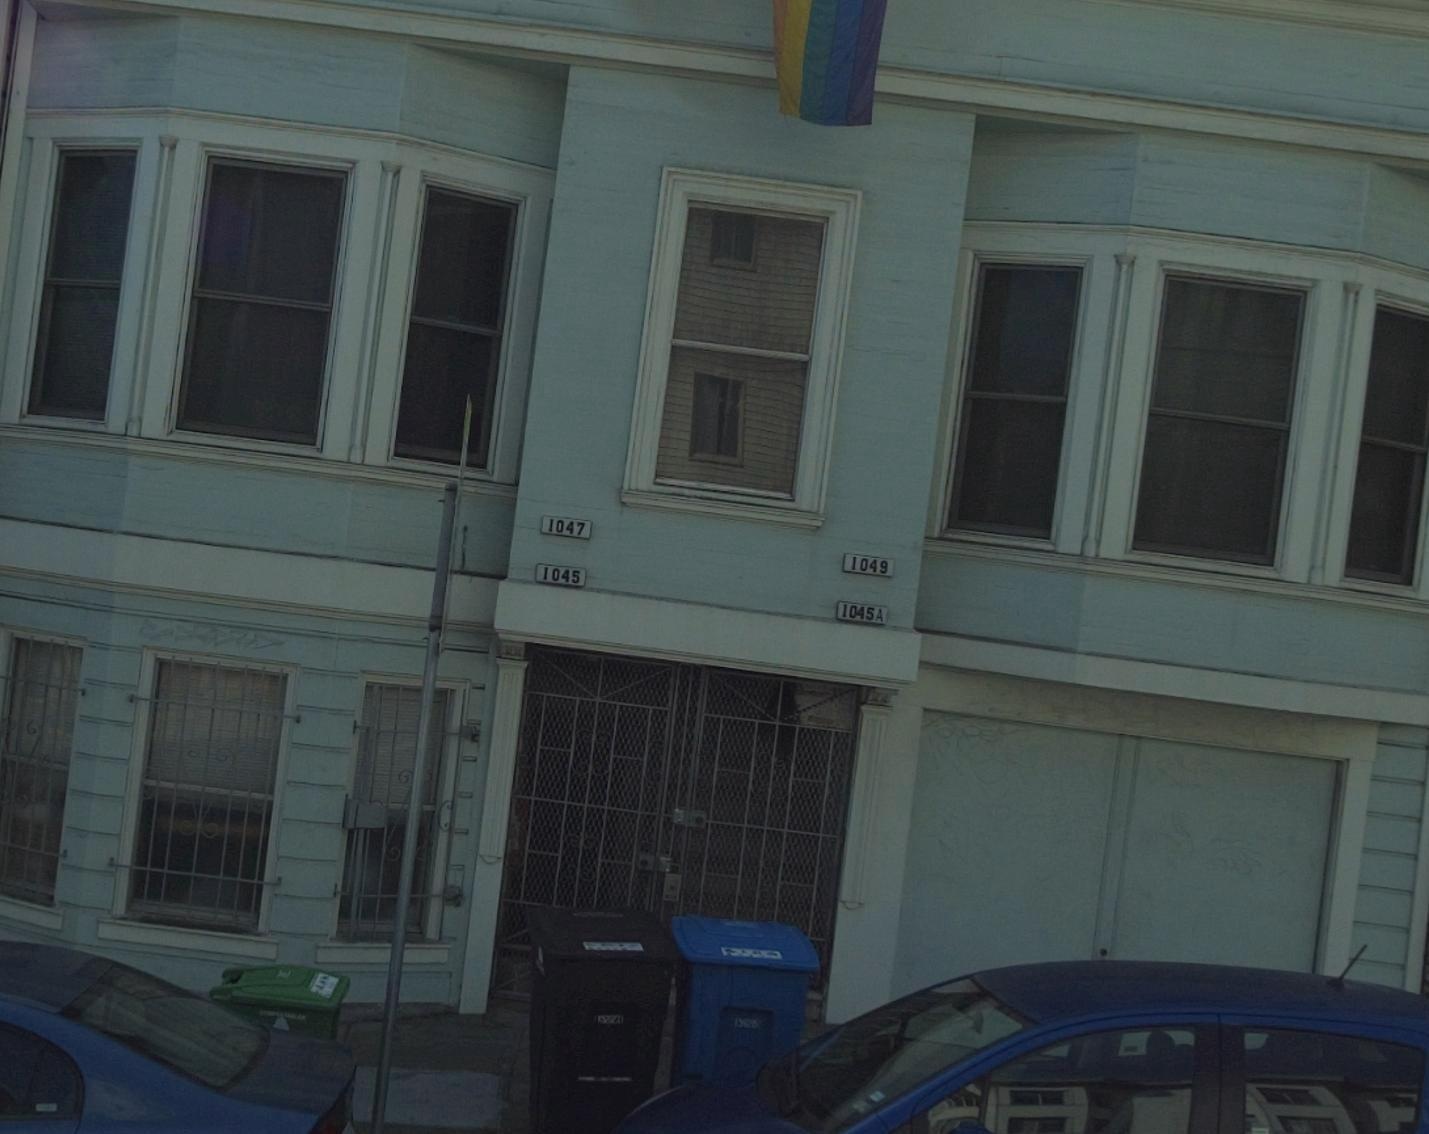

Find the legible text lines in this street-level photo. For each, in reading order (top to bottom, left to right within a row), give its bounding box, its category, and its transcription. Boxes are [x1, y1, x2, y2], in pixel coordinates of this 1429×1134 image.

[545, 517, 588, 538] StreetNumber: 1047
[541, 565, 582, 585] StreetNumber: 1045
[850, 555, 890, 575] StreetNumber: 1049
[840, 602, 885, 623] StreetNumber: 1045A